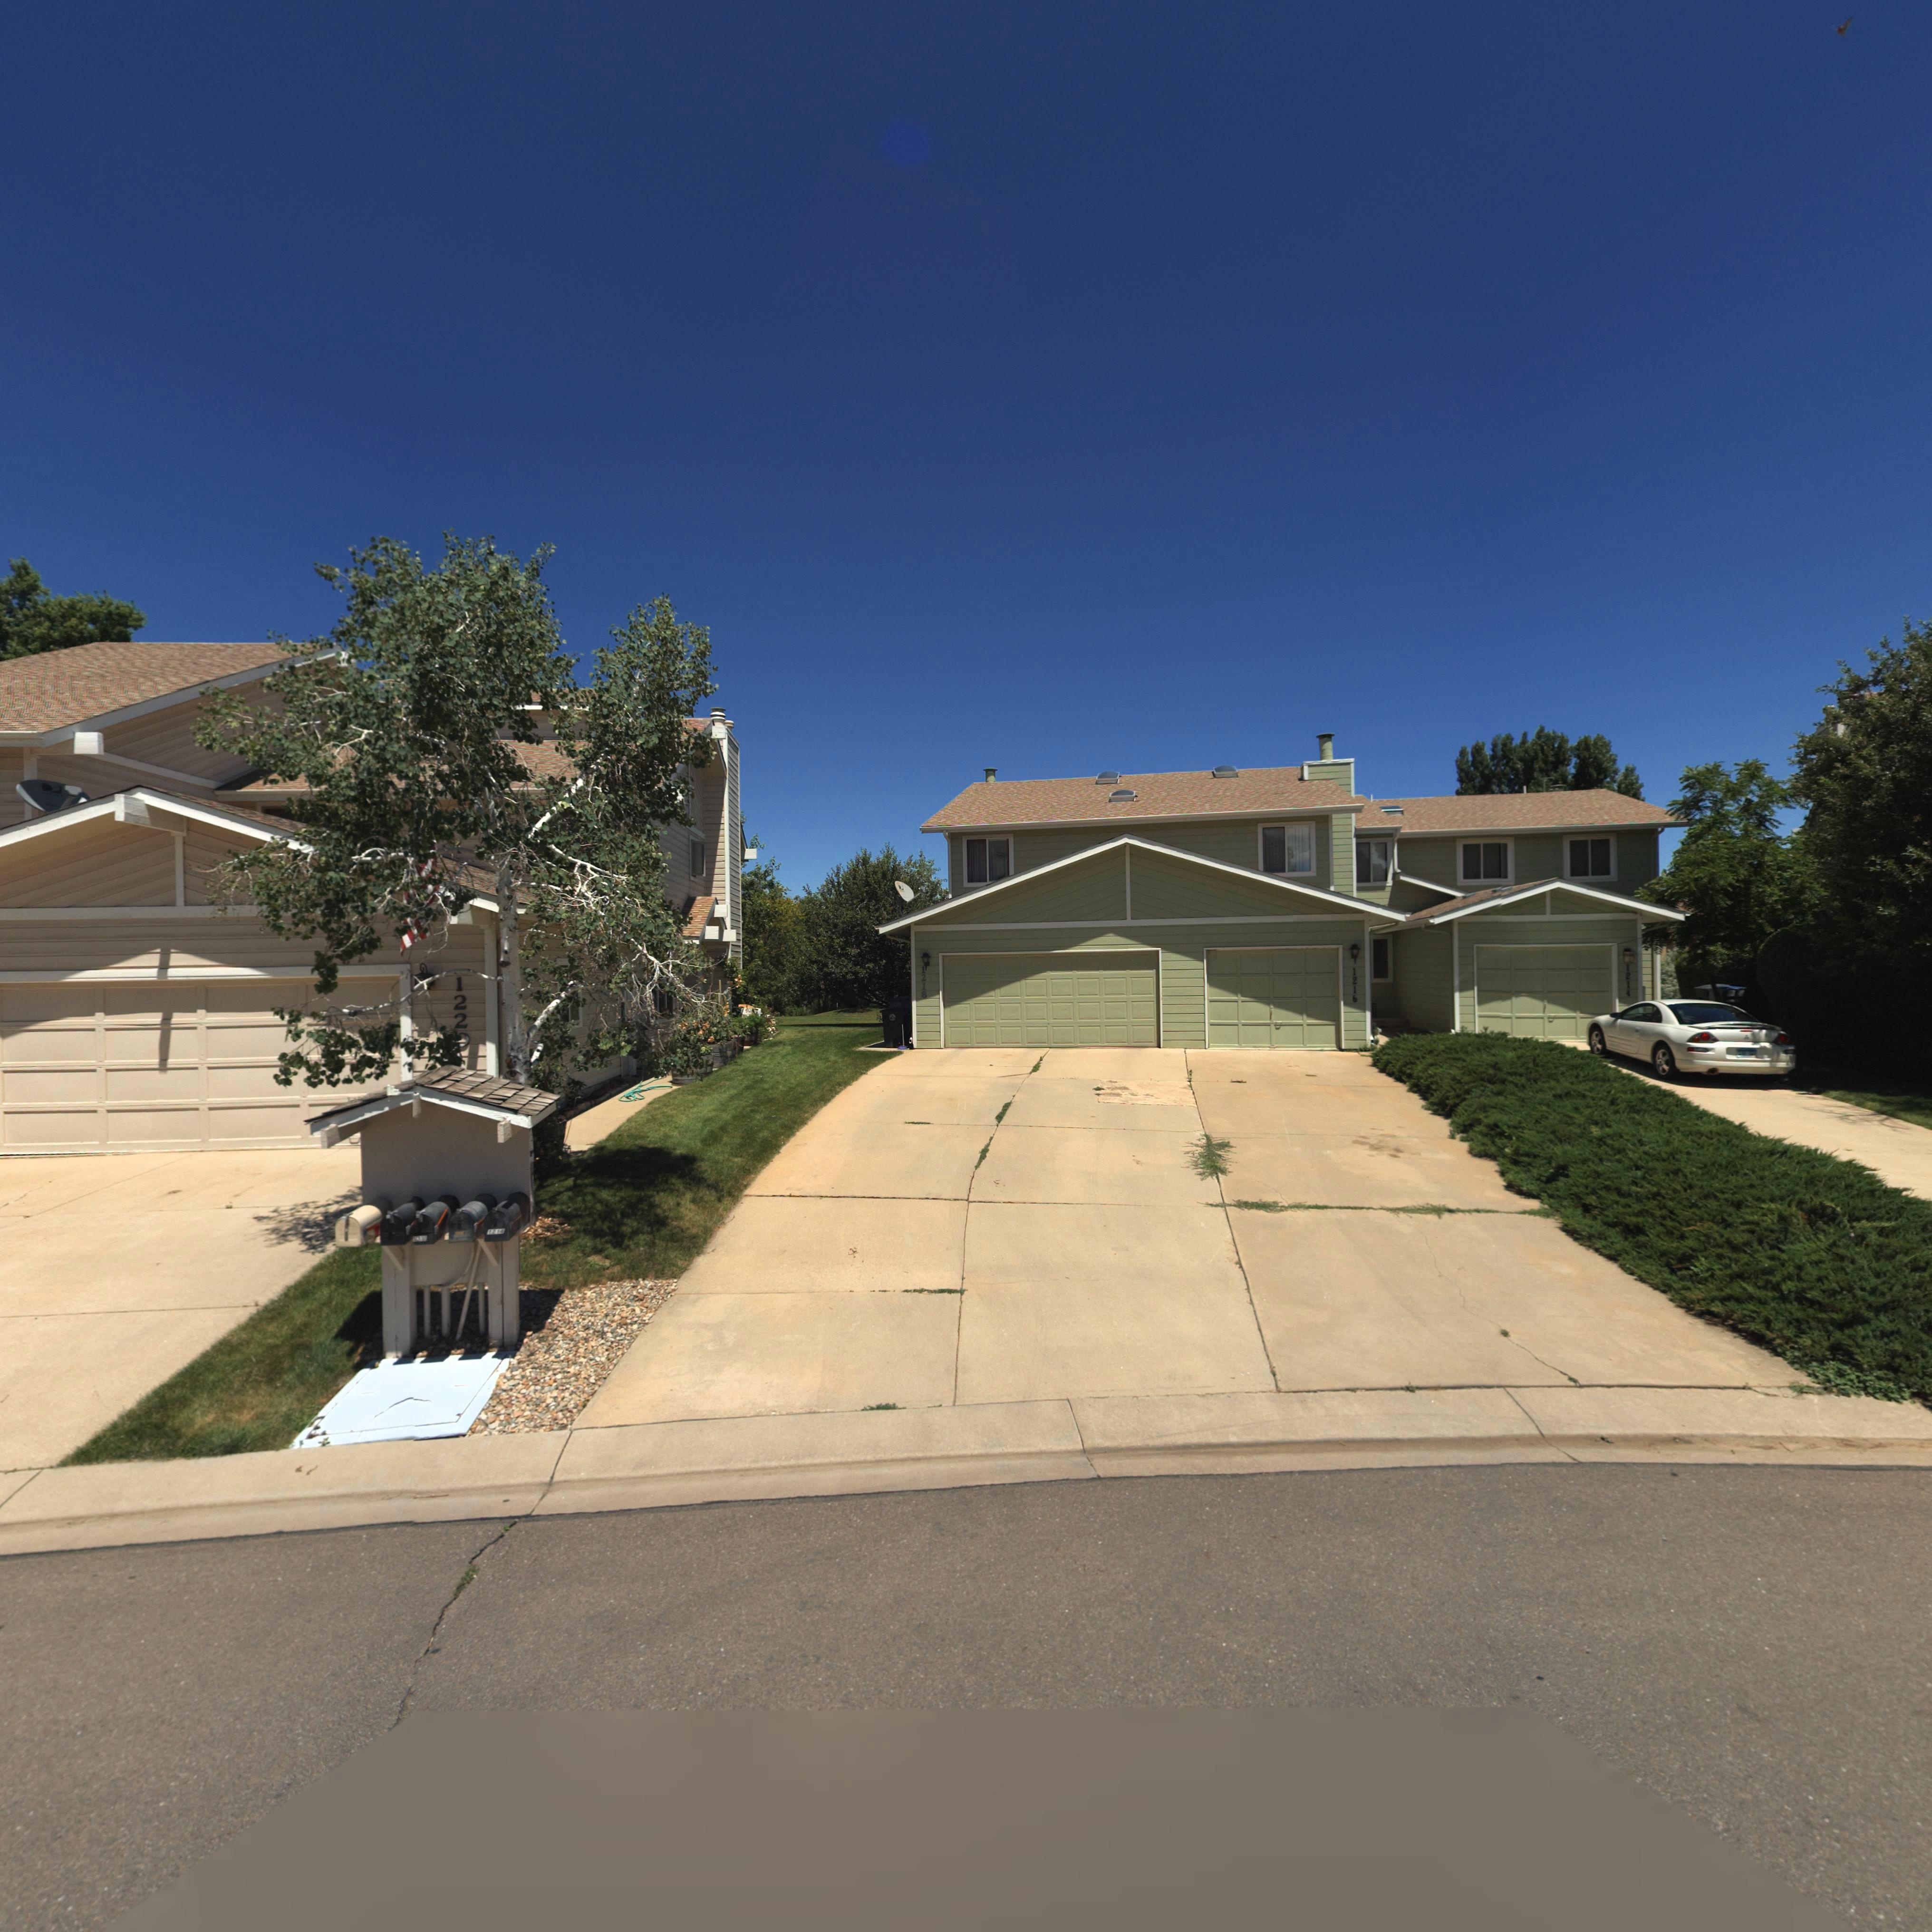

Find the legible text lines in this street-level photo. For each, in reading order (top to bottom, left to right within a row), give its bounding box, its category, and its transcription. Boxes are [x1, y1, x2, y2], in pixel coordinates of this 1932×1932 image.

[921, 965, 927, 999] StreetNumber: 1218
[1352, 967, 1358, 1003] StreetNumber: 1216
[1625, 963, 1631, 997] StreetNumber: 1214
[453, 976, 468, 1029] StreetNumber: 122
[413, 1235, 427, 1242] StreetNumber: 1***
[487, 1228, 504, 1234] StreetNumber: 1214